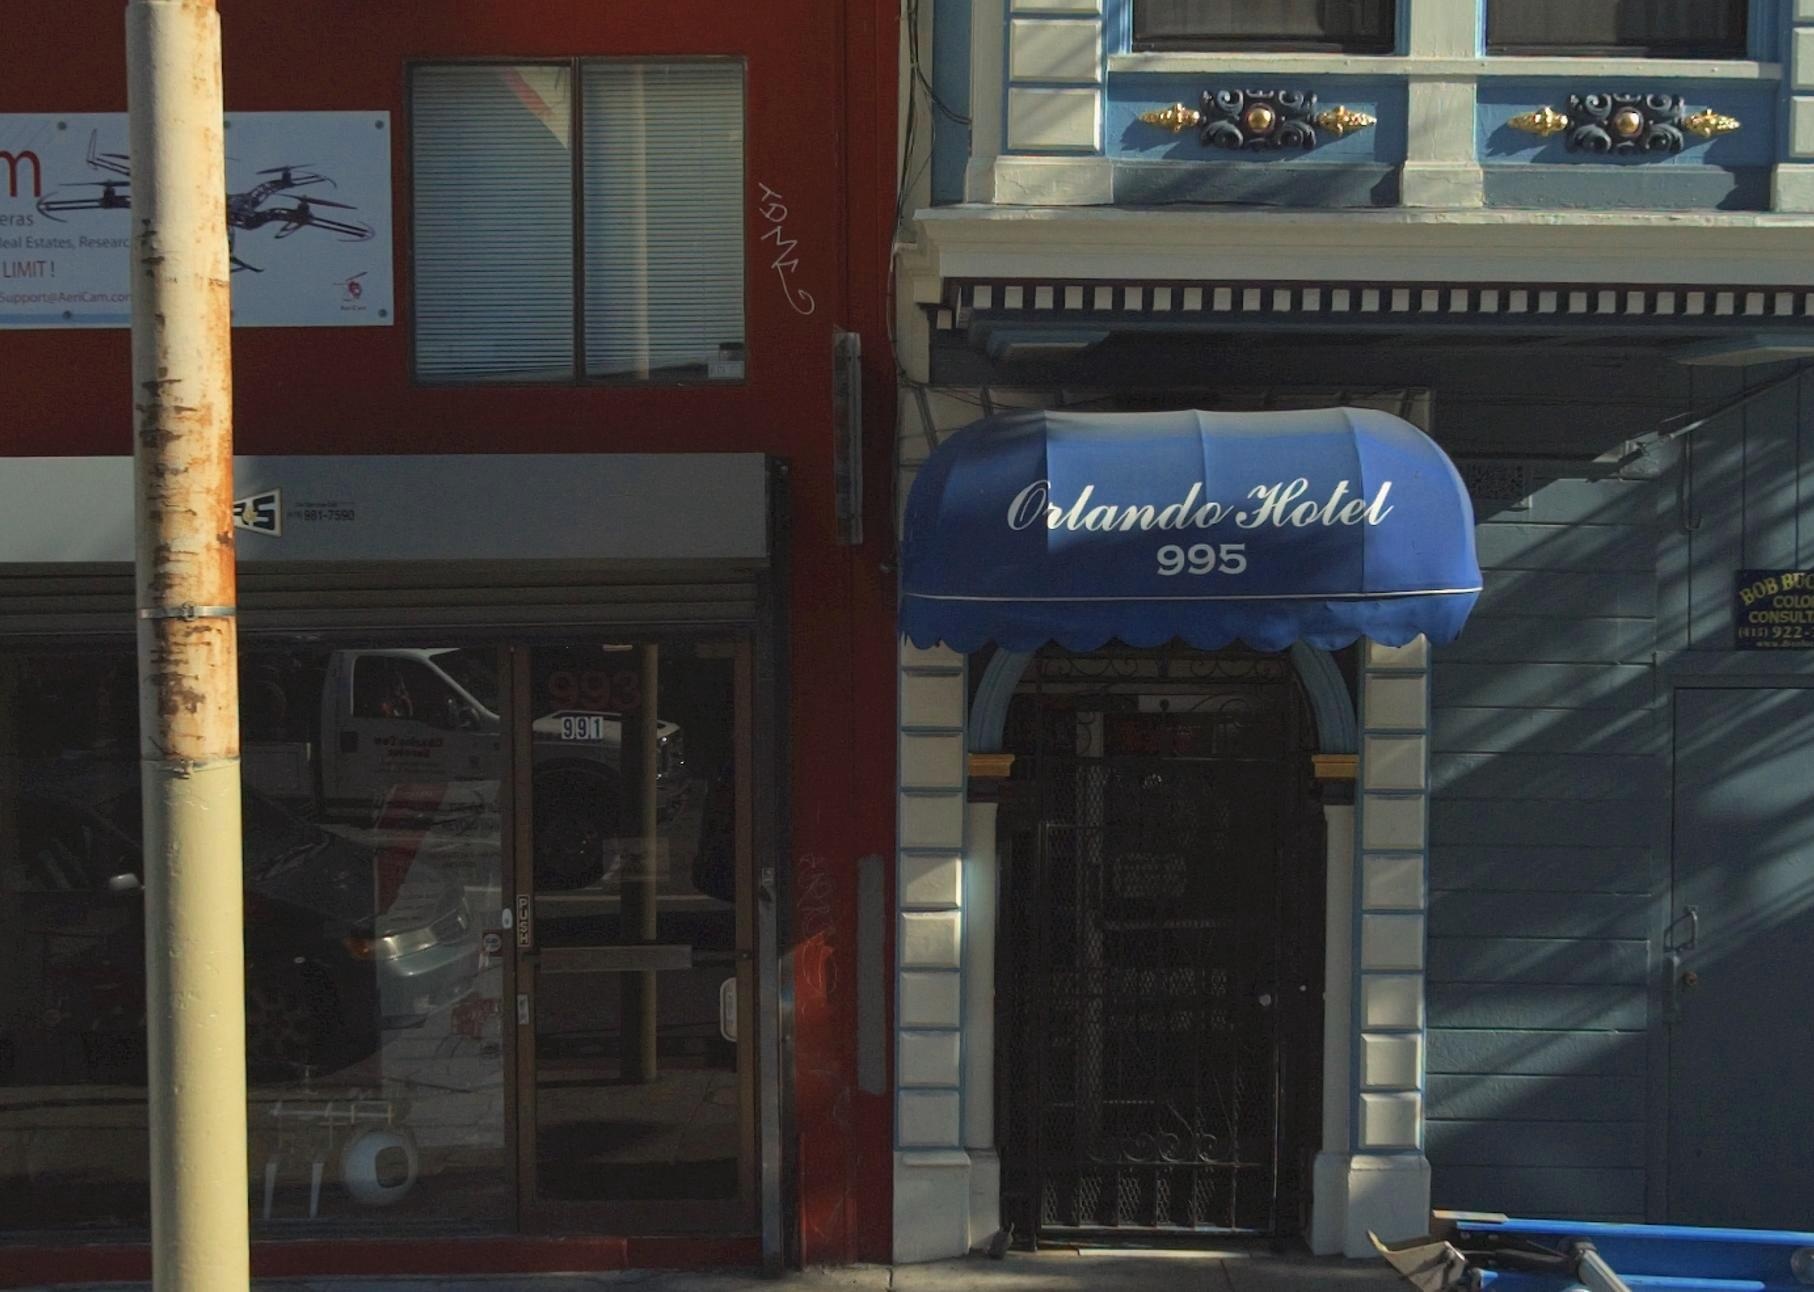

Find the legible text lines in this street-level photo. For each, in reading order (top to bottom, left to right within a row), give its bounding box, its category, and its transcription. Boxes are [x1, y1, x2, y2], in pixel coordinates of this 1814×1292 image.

[8, 213, 36, 227] None: ras
[2, 234, 131, 250] None: eal Estates Researc
[1, 260, 46, 278] None: LIMIT
[4, 290, 126, 306] None: upport@AeriCam.co
[250, 492, 276, 533] BusinessName: S
[302, 508, 356, 522] None: 981-7590
[1004, 476, 1395, 532] BusinessName: Orlando Hotel
[1155, 542, 1249, 578] StreetNumber: 995
[1736, 571, 1807, 608] BusinessName: BOB BU
[1770, 594, 1813, 610] BusinessName: COLO
[1746, 609, 1814, 624] BusinessName: CONSULT
[1736, 625, 1803, 640] None: (415) 922
[546, 668, 643, 713] StreetNumber: 993
[560, 716, 602, 740] StreetNumber: 991
[518, 896, 529, 945] None: PUSH